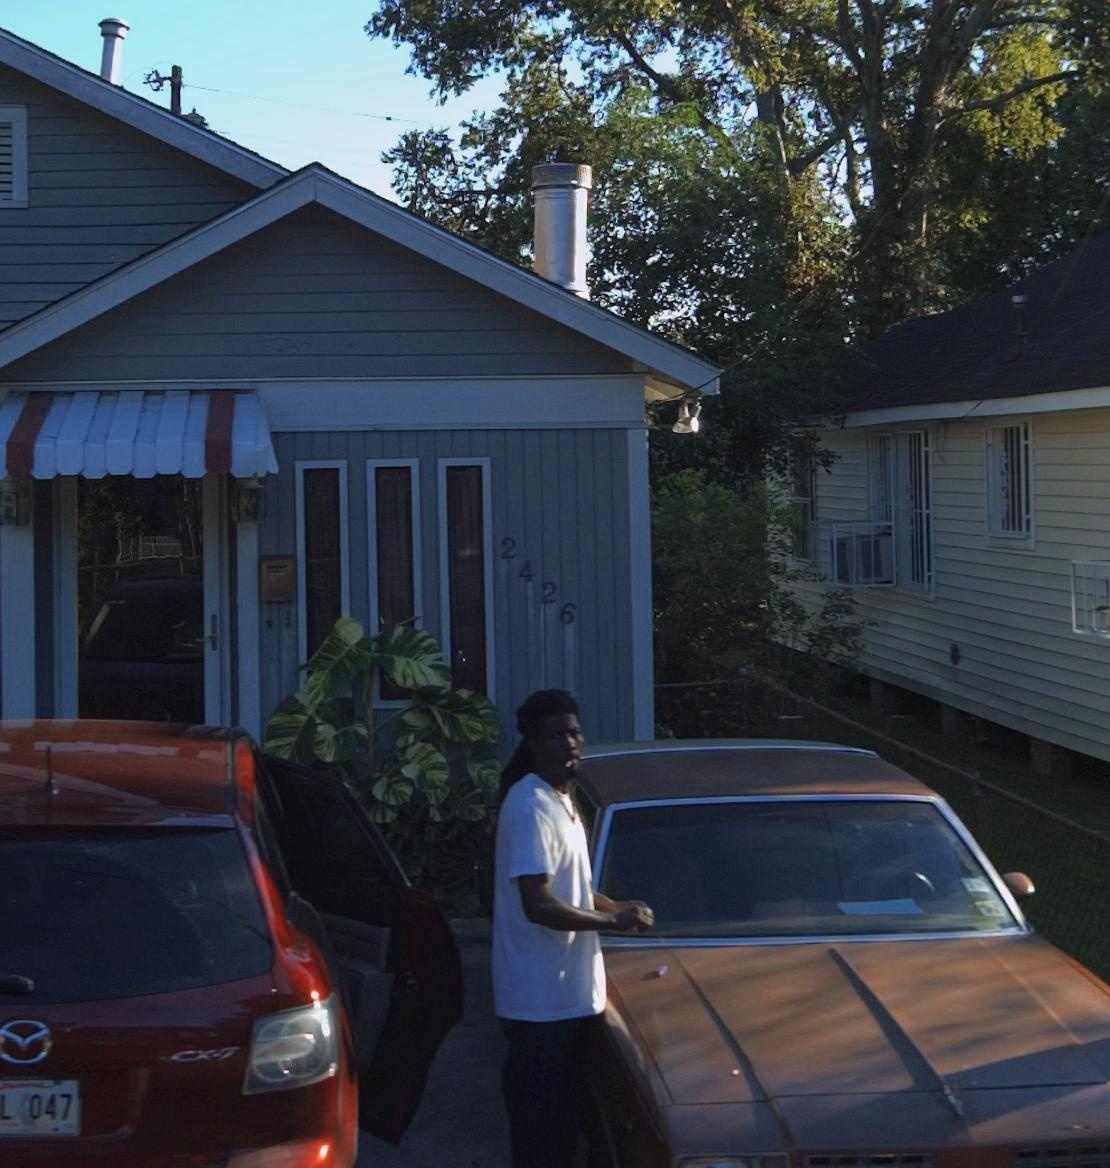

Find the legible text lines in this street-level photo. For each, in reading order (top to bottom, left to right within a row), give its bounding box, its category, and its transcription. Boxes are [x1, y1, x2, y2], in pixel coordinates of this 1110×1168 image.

[499, 534, 579, 627] StreetNumber: 2426
[165, 1042, 245, 1067] None: cx-7
[26, 1091, 78, 1123] None: 047